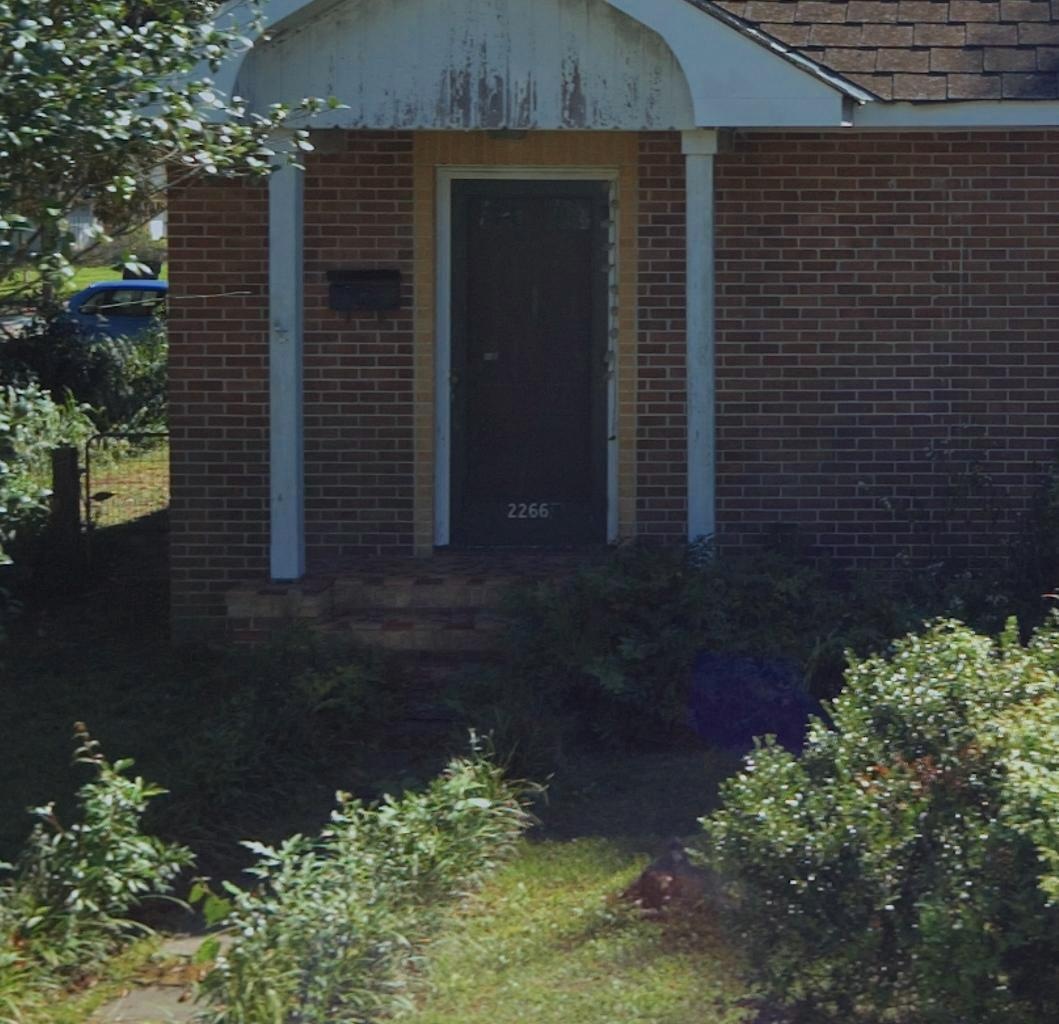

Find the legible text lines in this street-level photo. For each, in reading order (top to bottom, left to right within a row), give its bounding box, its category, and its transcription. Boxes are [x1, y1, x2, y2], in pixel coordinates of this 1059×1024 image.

[506, 502, 550, 519] StreetNumber: 2266